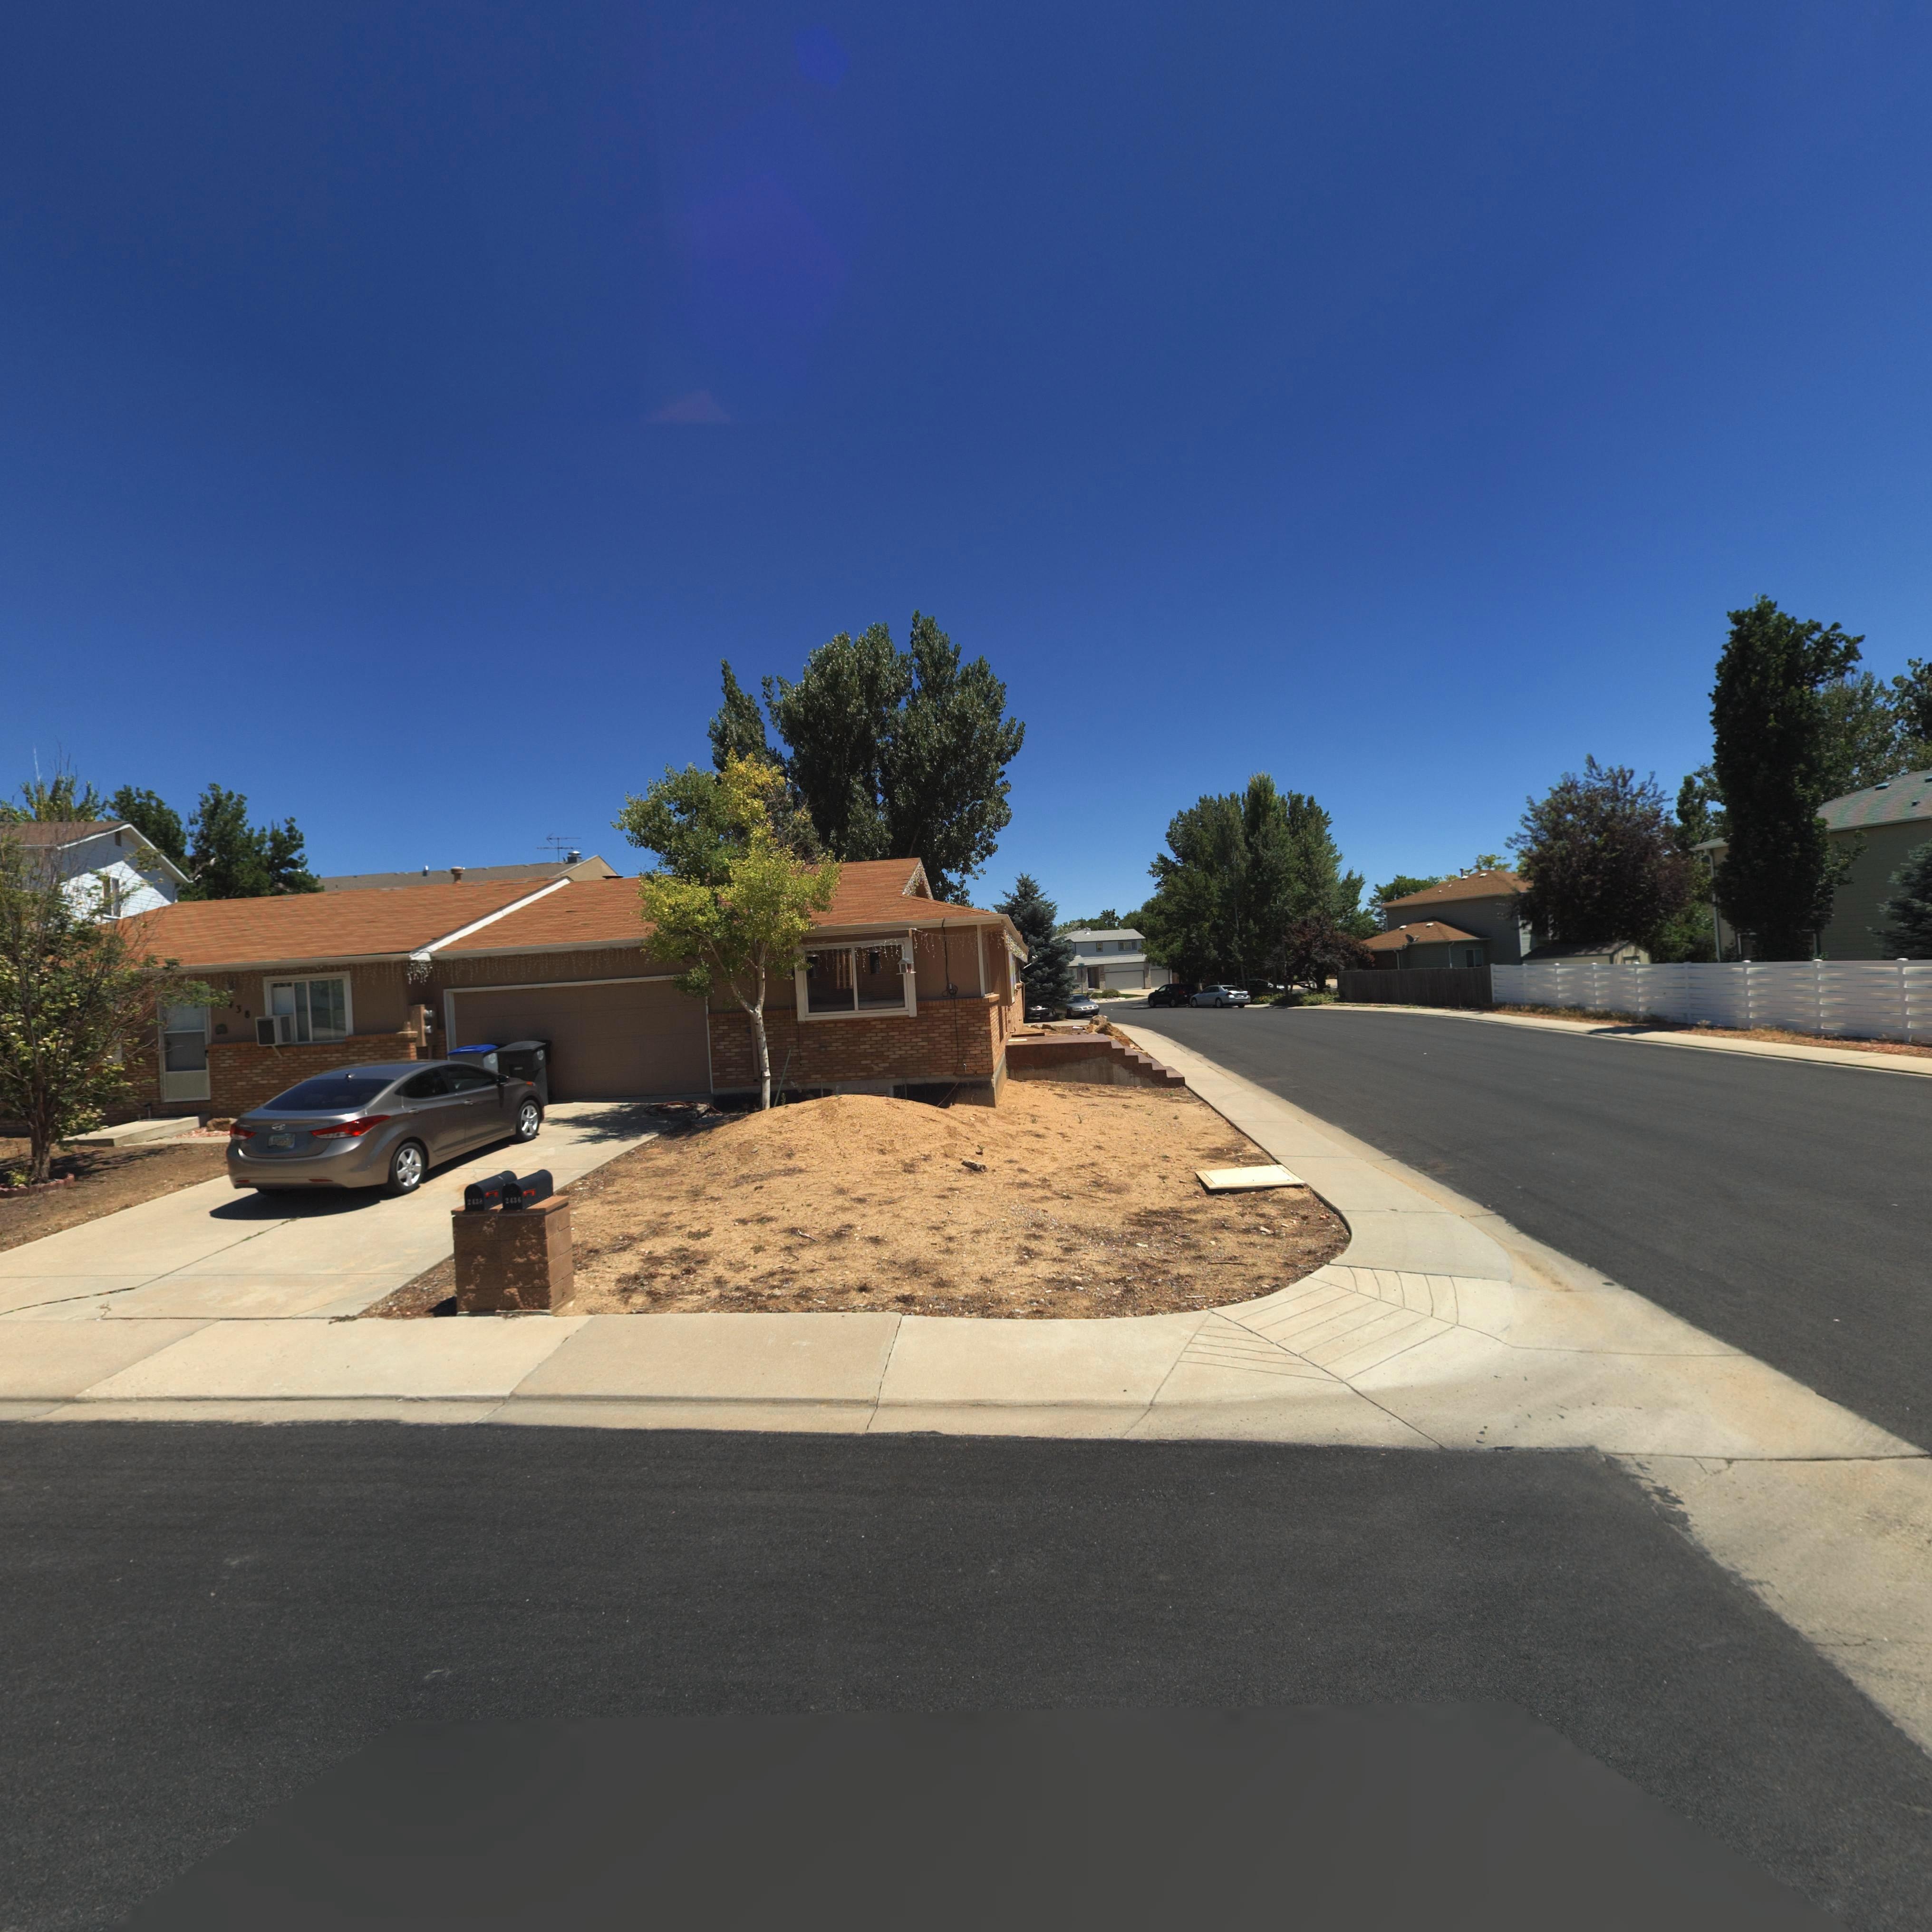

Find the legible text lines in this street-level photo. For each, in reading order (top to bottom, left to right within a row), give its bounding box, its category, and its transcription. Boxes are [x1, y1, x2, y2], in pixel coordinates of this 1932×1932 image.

[227, 1000, 250, 1018] StreetNumber: *38
[467, 1198, 483, 1205] StreetNumber: 2438
[504, 1197, 521, 1204] StreetNumber: 2436